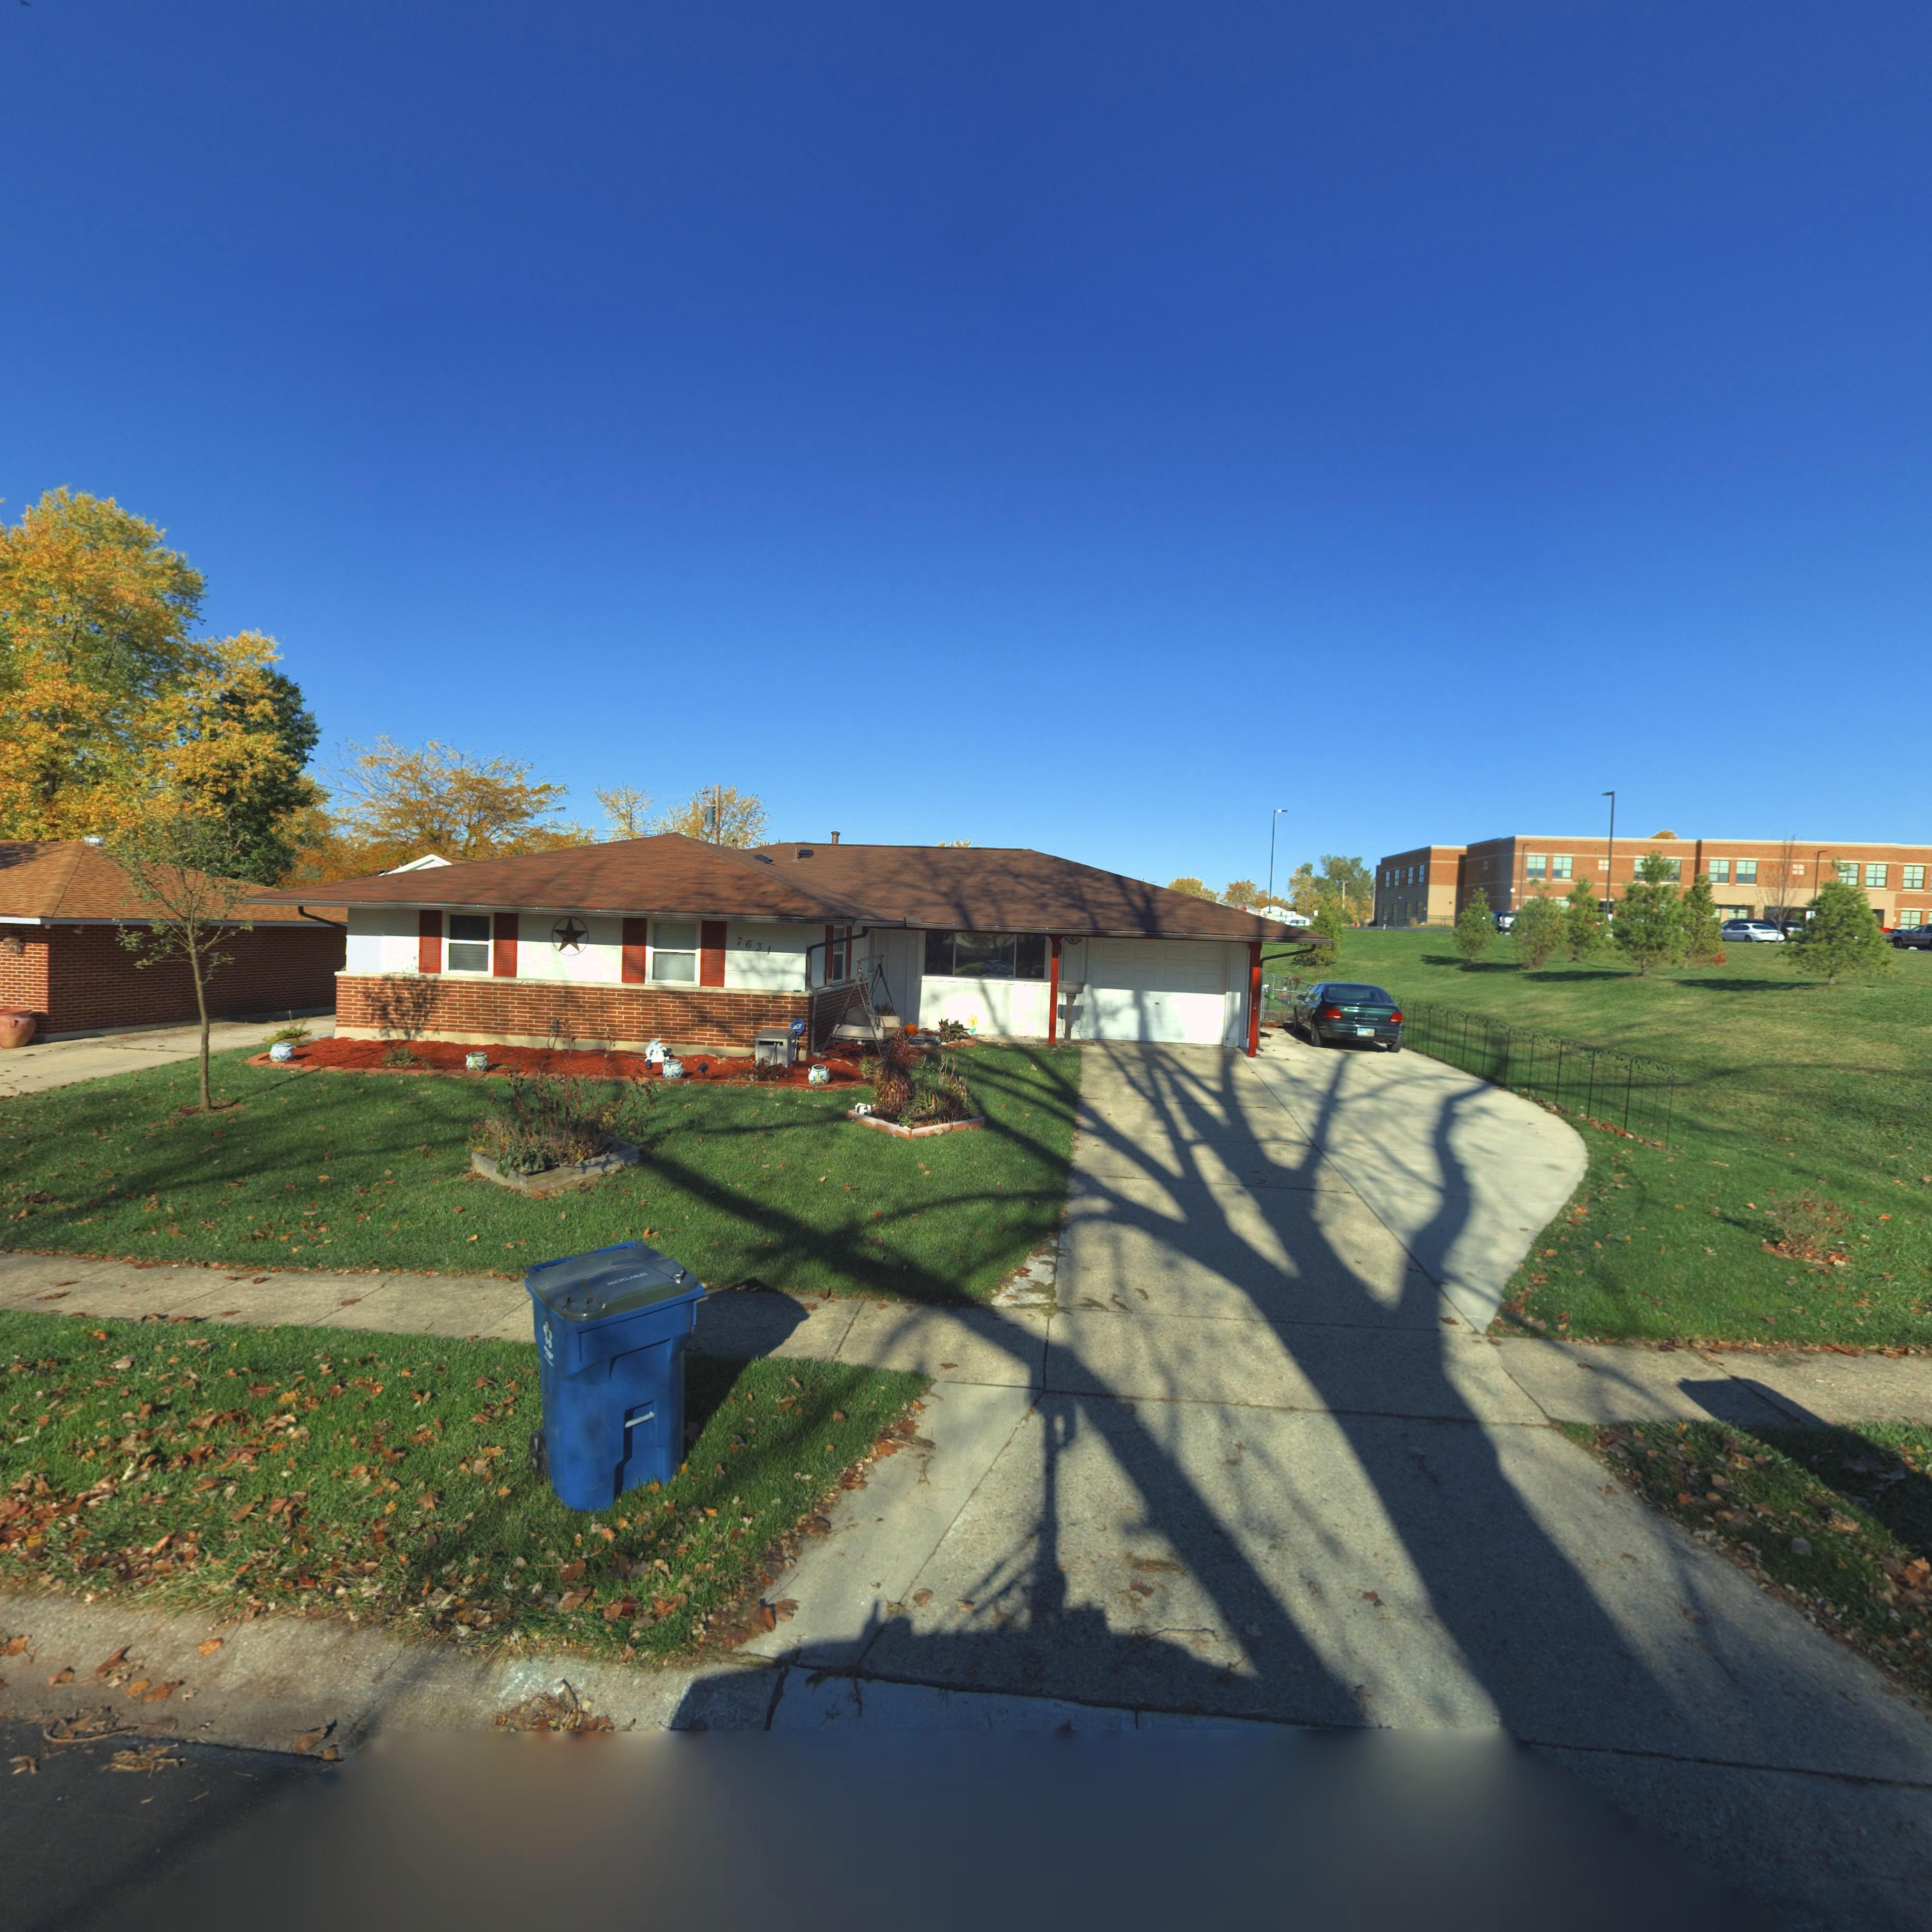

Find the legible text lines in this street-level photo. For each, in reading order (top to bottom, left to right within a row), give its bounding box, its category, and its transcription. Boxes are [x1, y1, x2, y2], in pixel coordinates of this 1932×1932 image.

[736, 936, 773, 956] StreetNumber: 7631